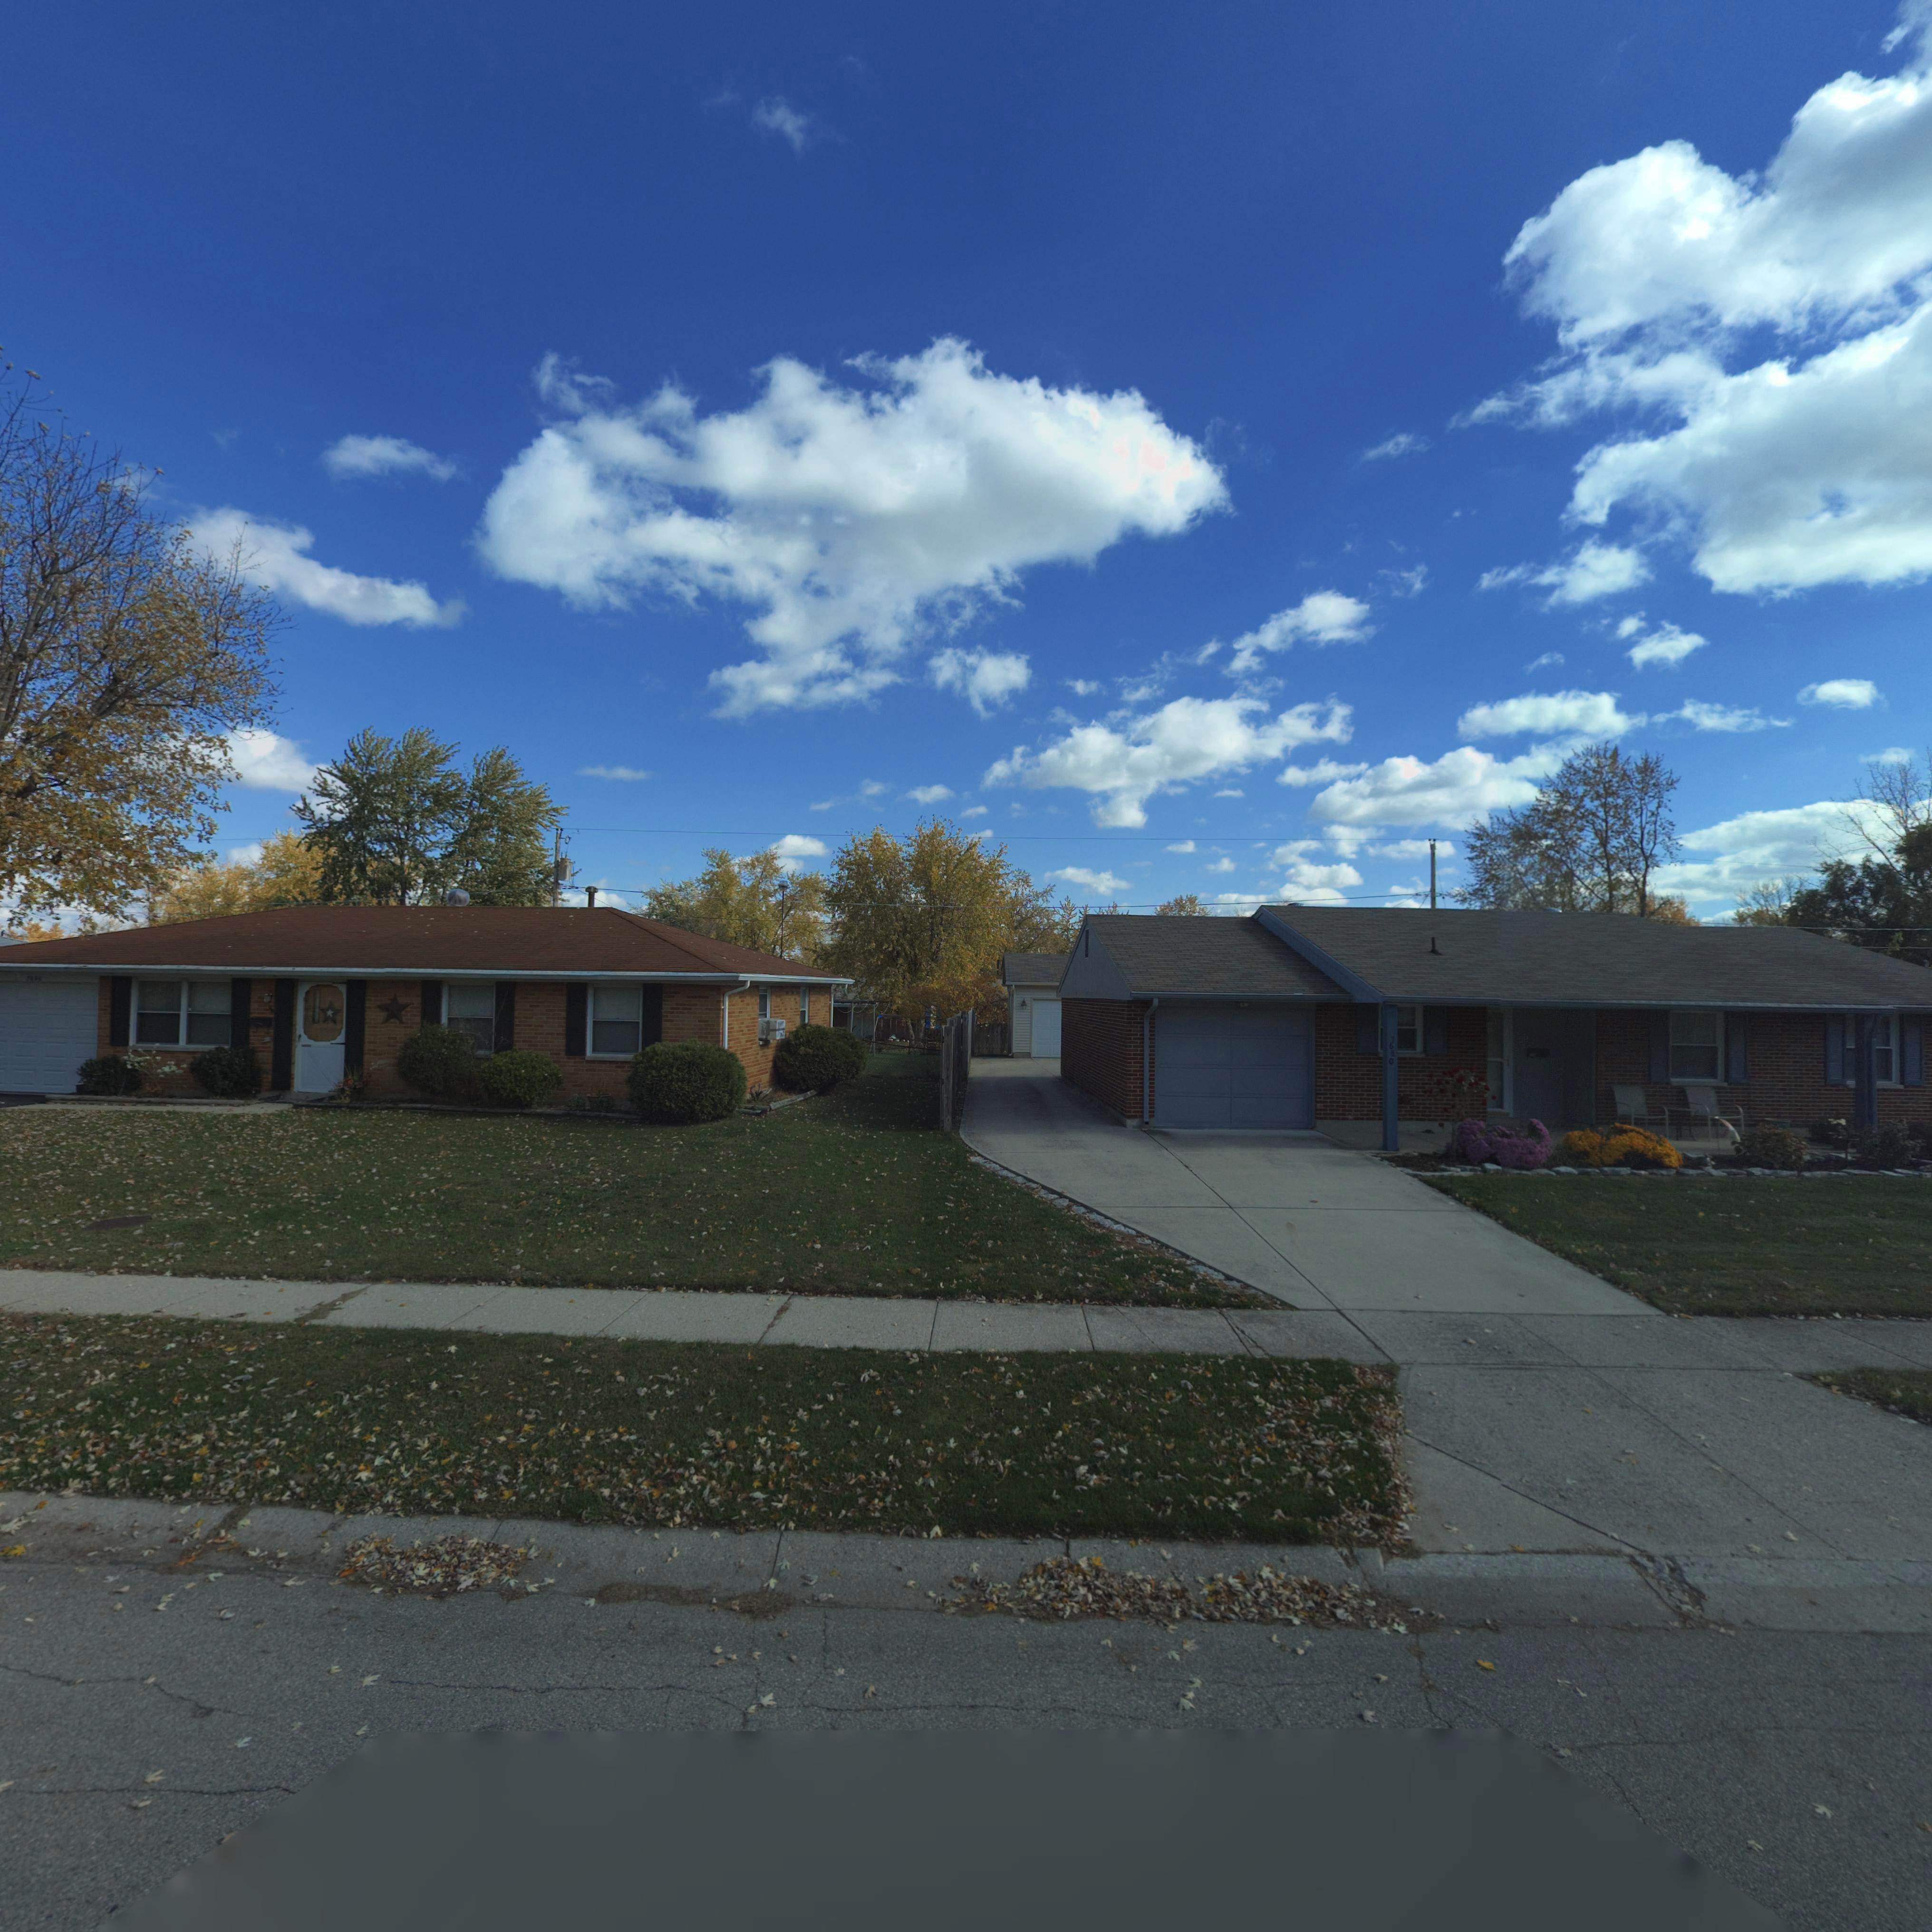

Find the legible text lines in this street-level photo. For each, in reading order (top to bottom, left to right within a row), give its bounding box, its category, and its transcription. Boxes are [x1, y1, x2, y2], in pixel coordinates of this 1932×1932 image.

[25, 975, 43, 982] StreetNumber: 76**
[1387, 1035, 1396, 1066] StreetNumber: 7680